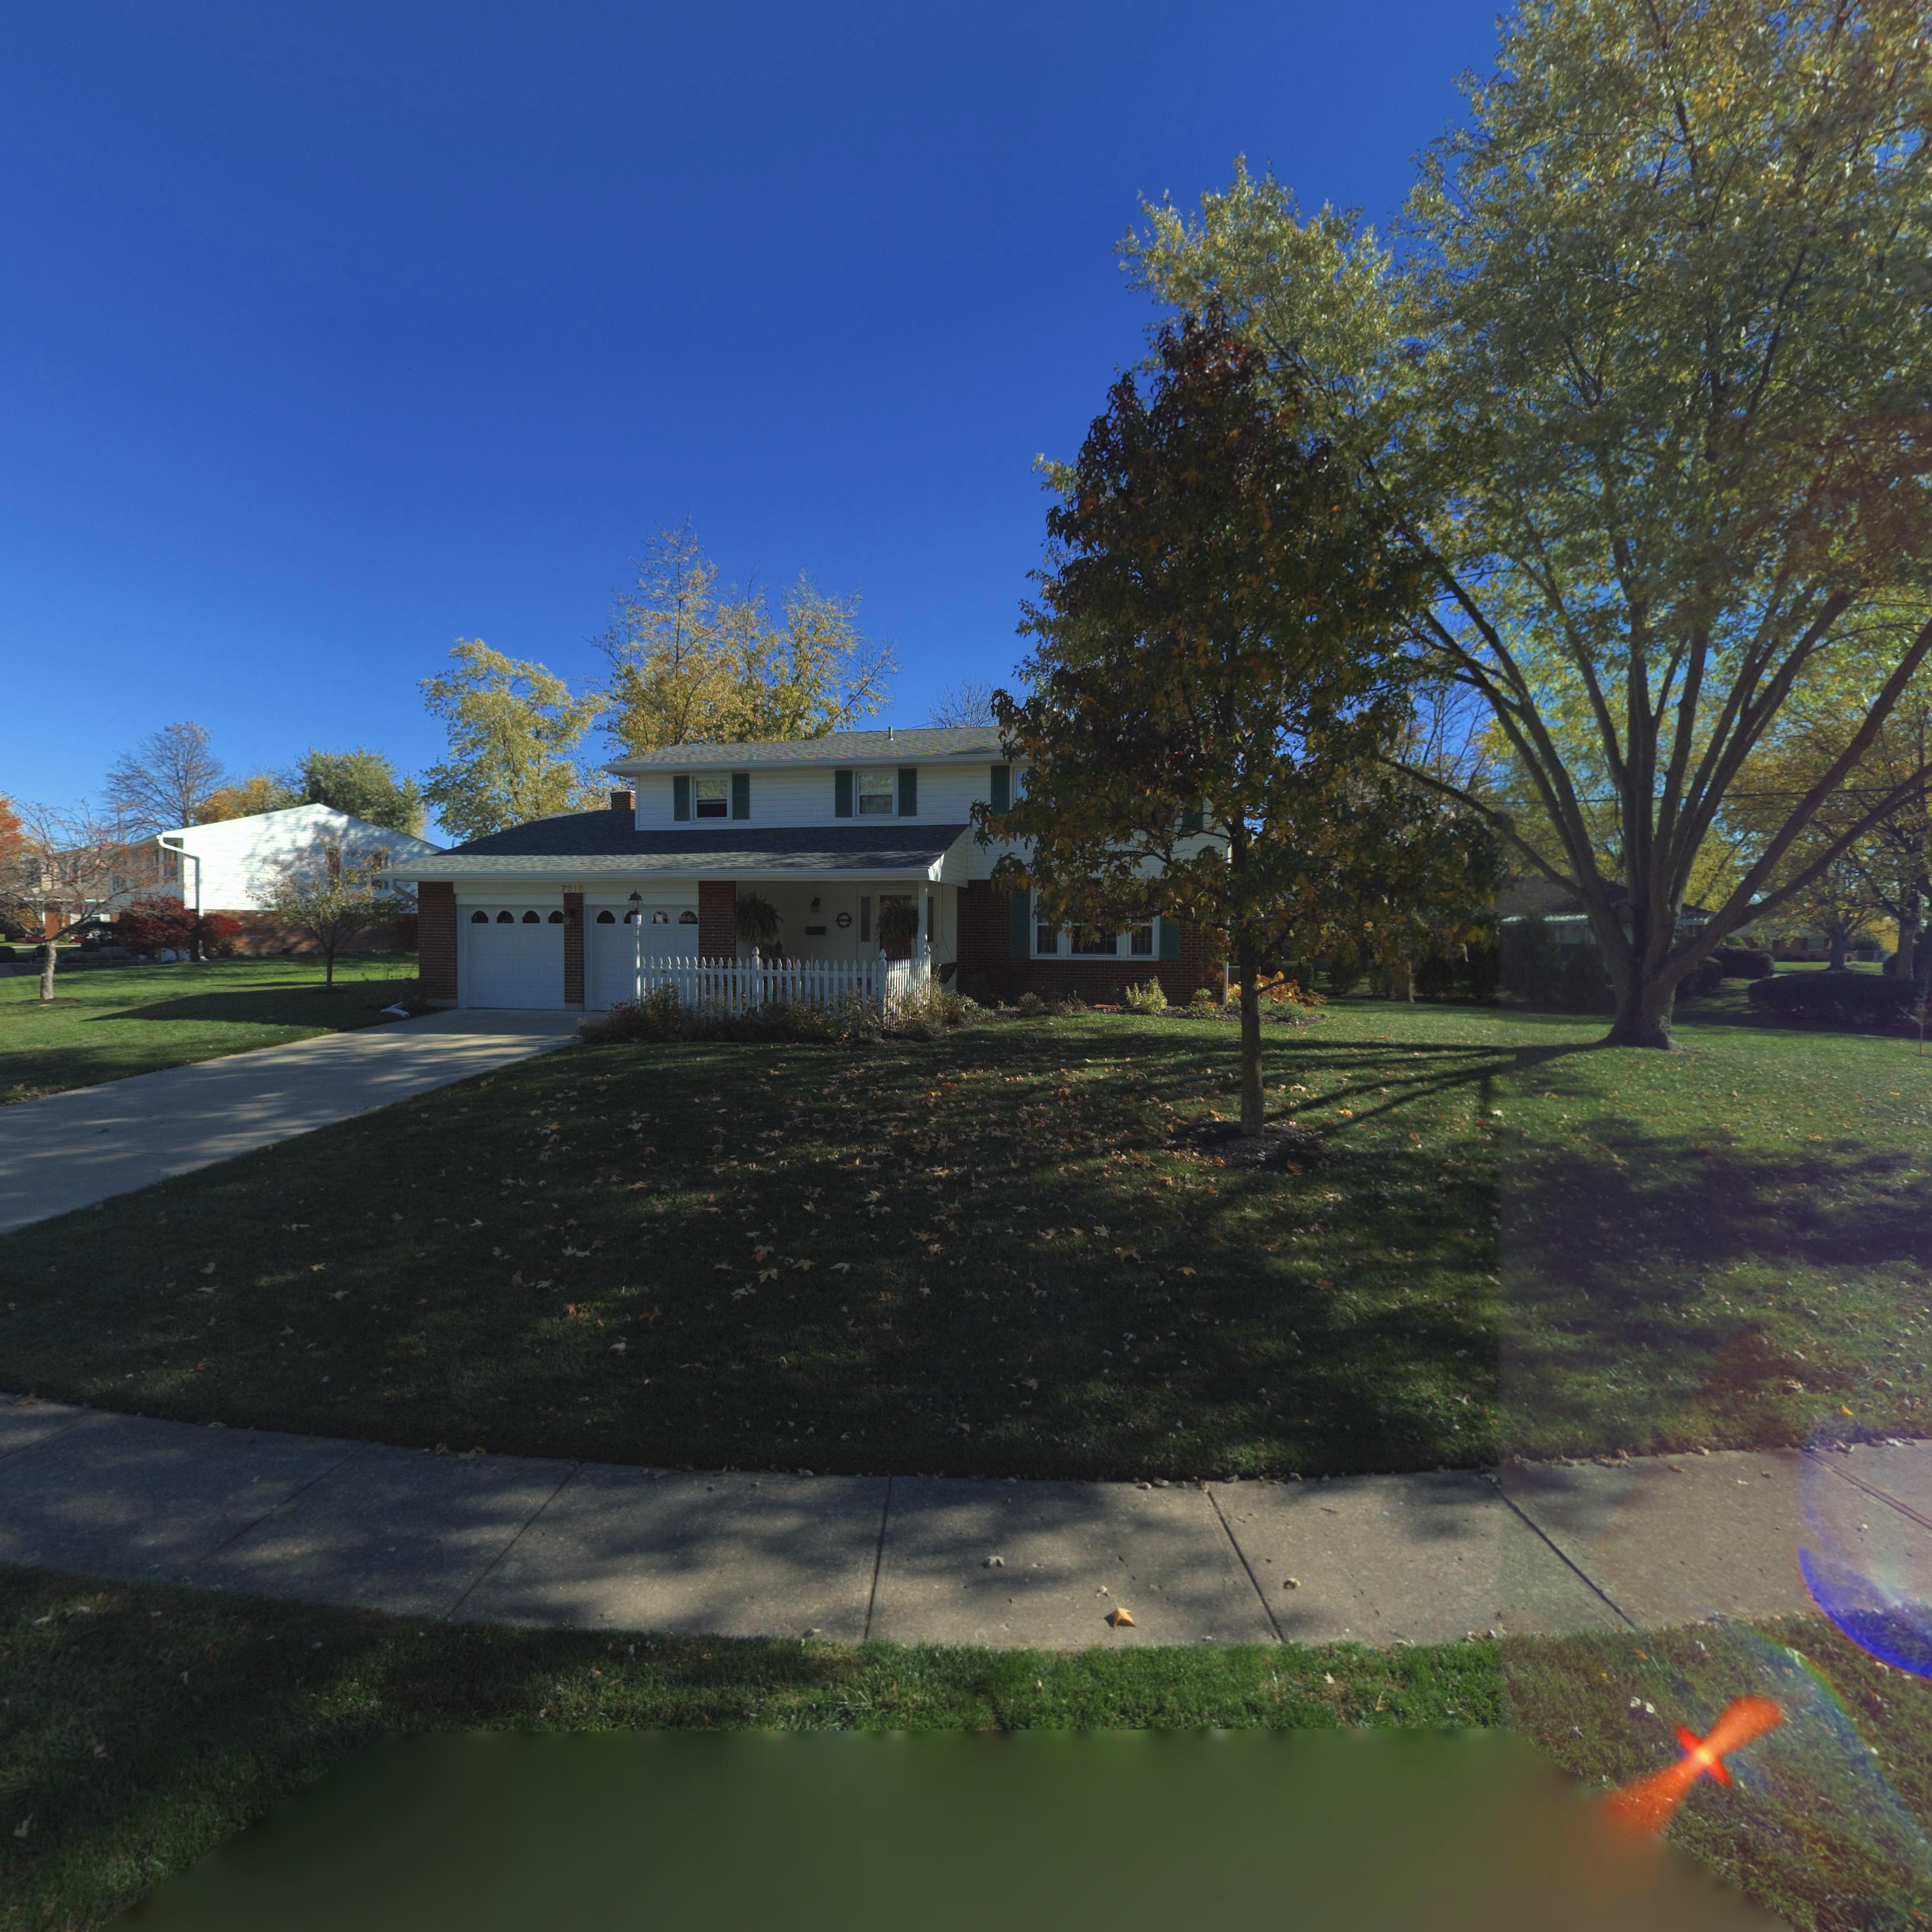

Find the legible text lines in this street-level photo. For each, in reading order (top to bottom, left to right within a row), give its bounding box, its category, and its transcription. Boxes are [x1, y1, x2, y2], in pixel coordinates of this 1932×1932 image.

[560, 884, 585, 894] StreetNumber: 7018